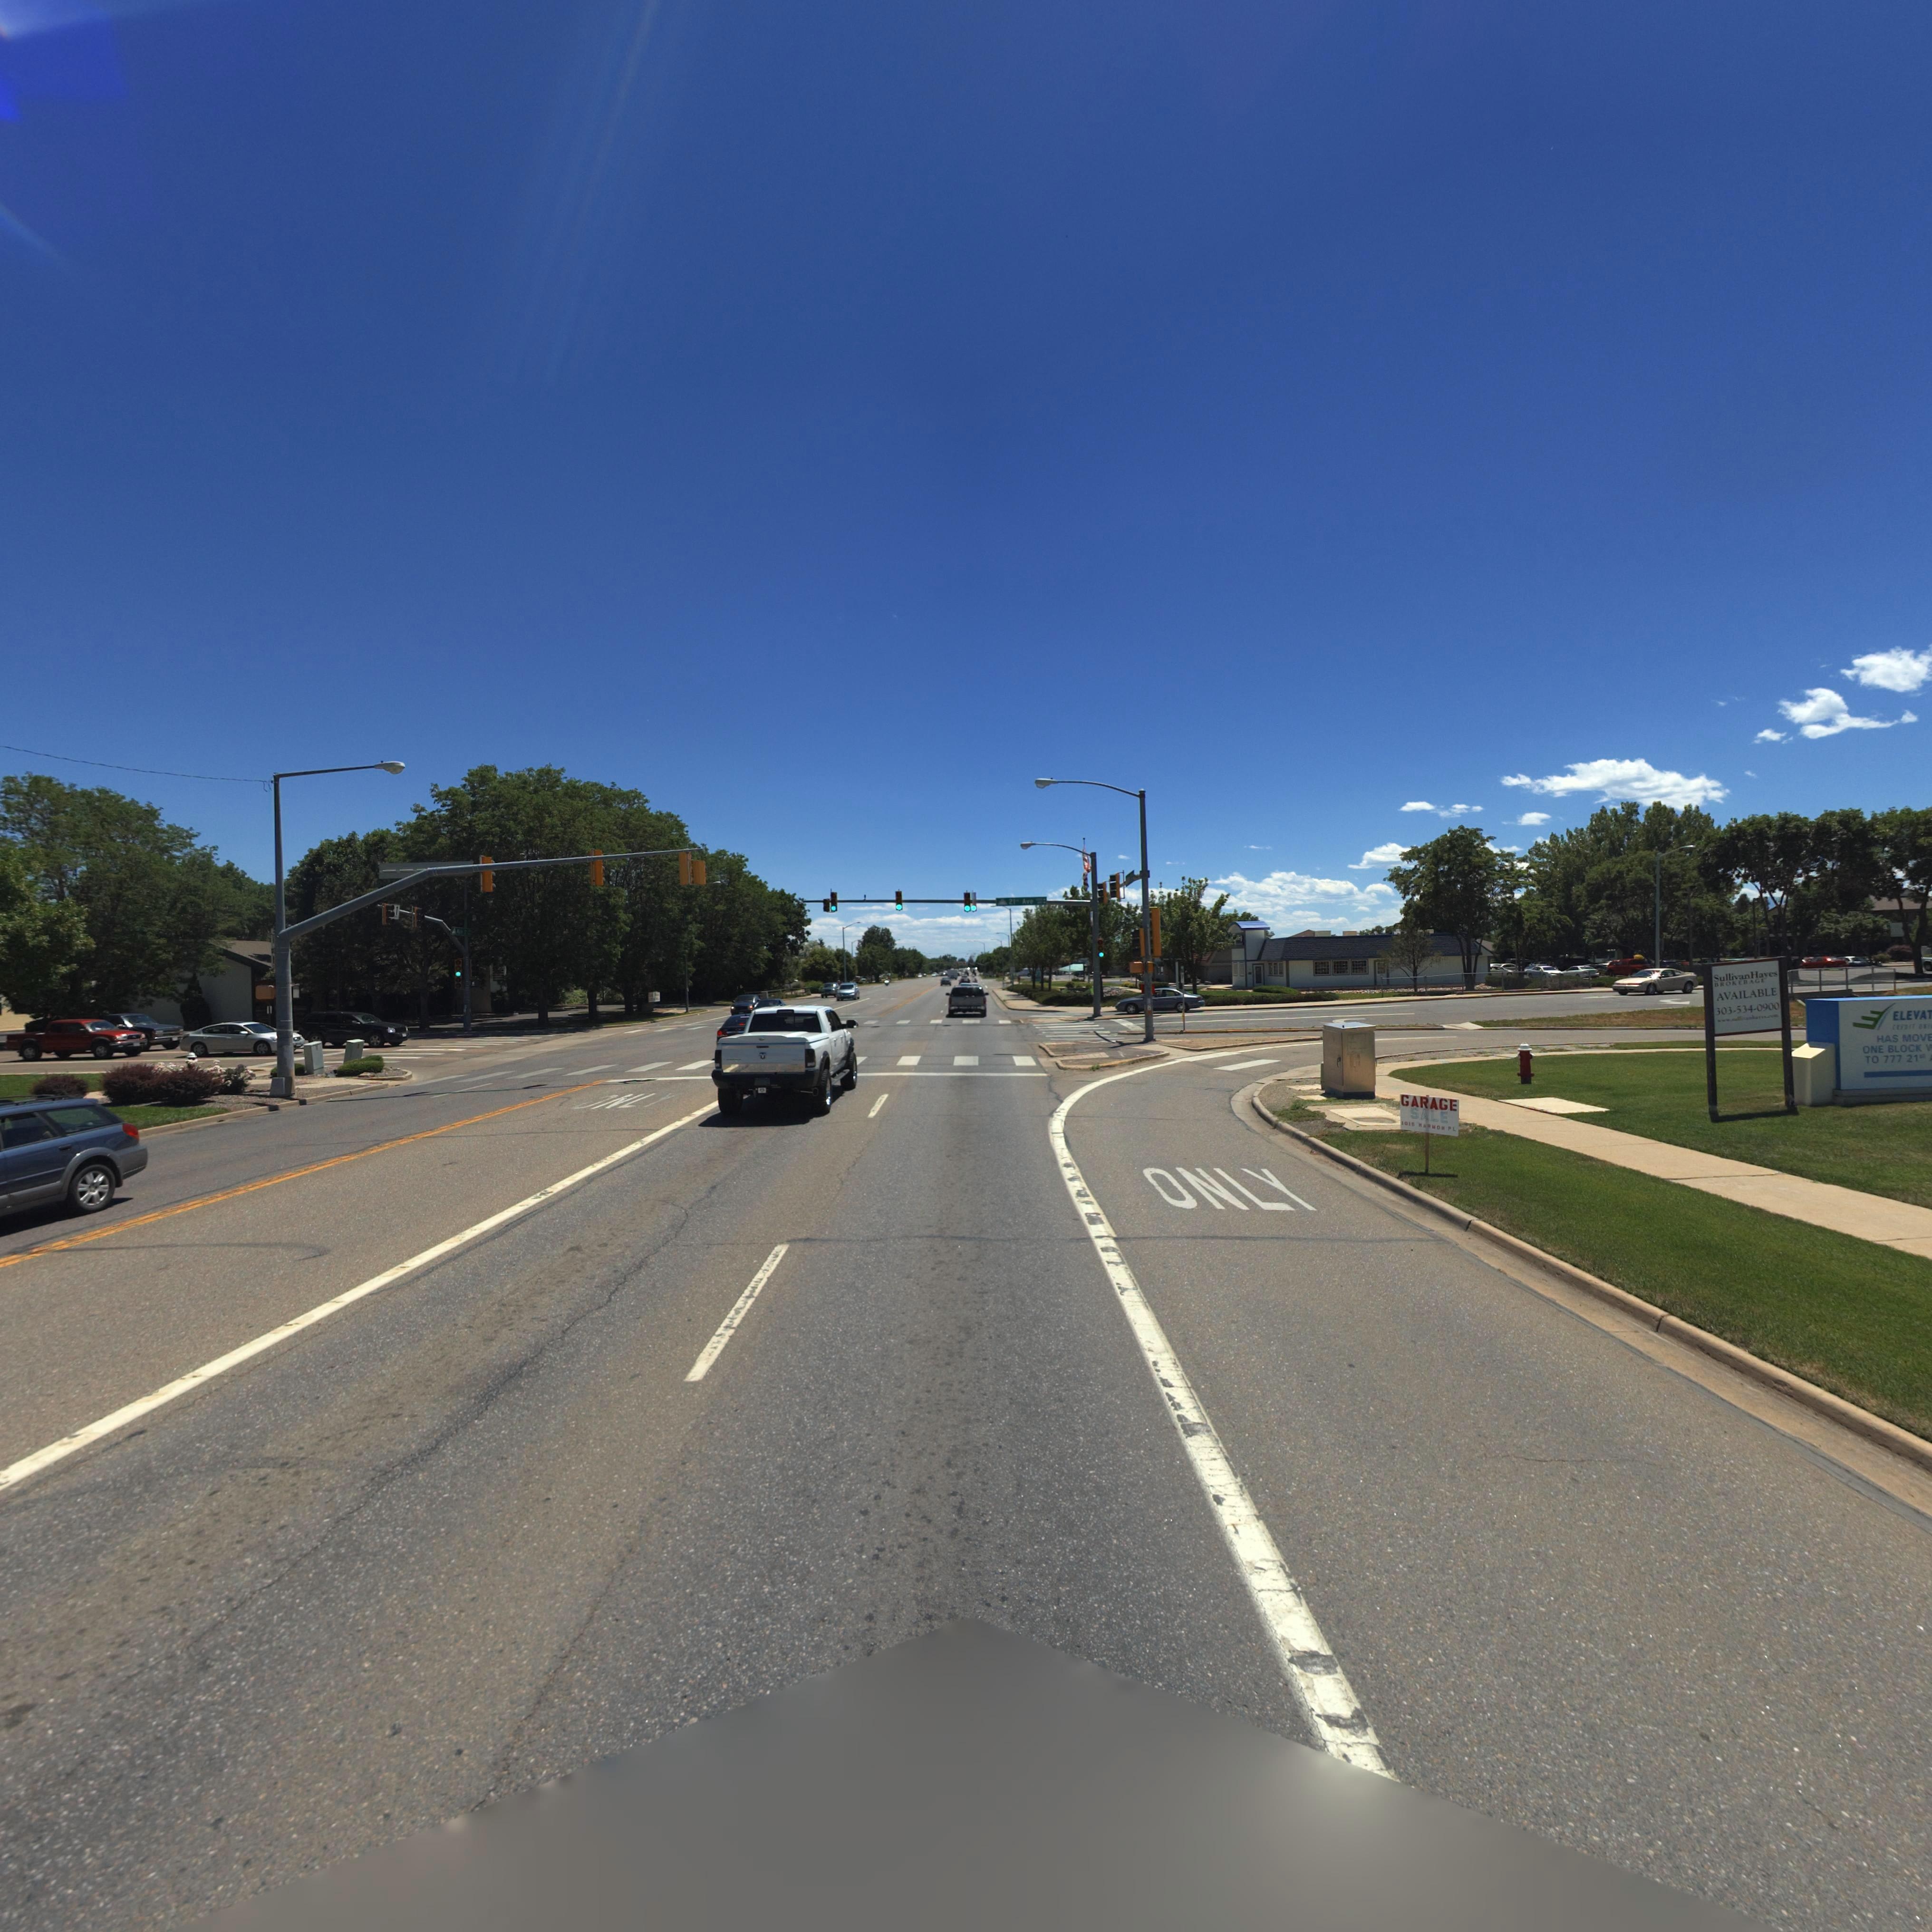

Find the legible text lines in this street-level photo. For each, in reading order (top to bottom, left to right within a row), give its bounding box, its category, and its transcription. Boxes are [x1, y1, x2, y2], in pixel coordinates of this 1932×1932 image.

[1008, 898, 1034, 904] StreetName: 21st Ave
[456, 928, 467, 935] StreetName: M*** S*